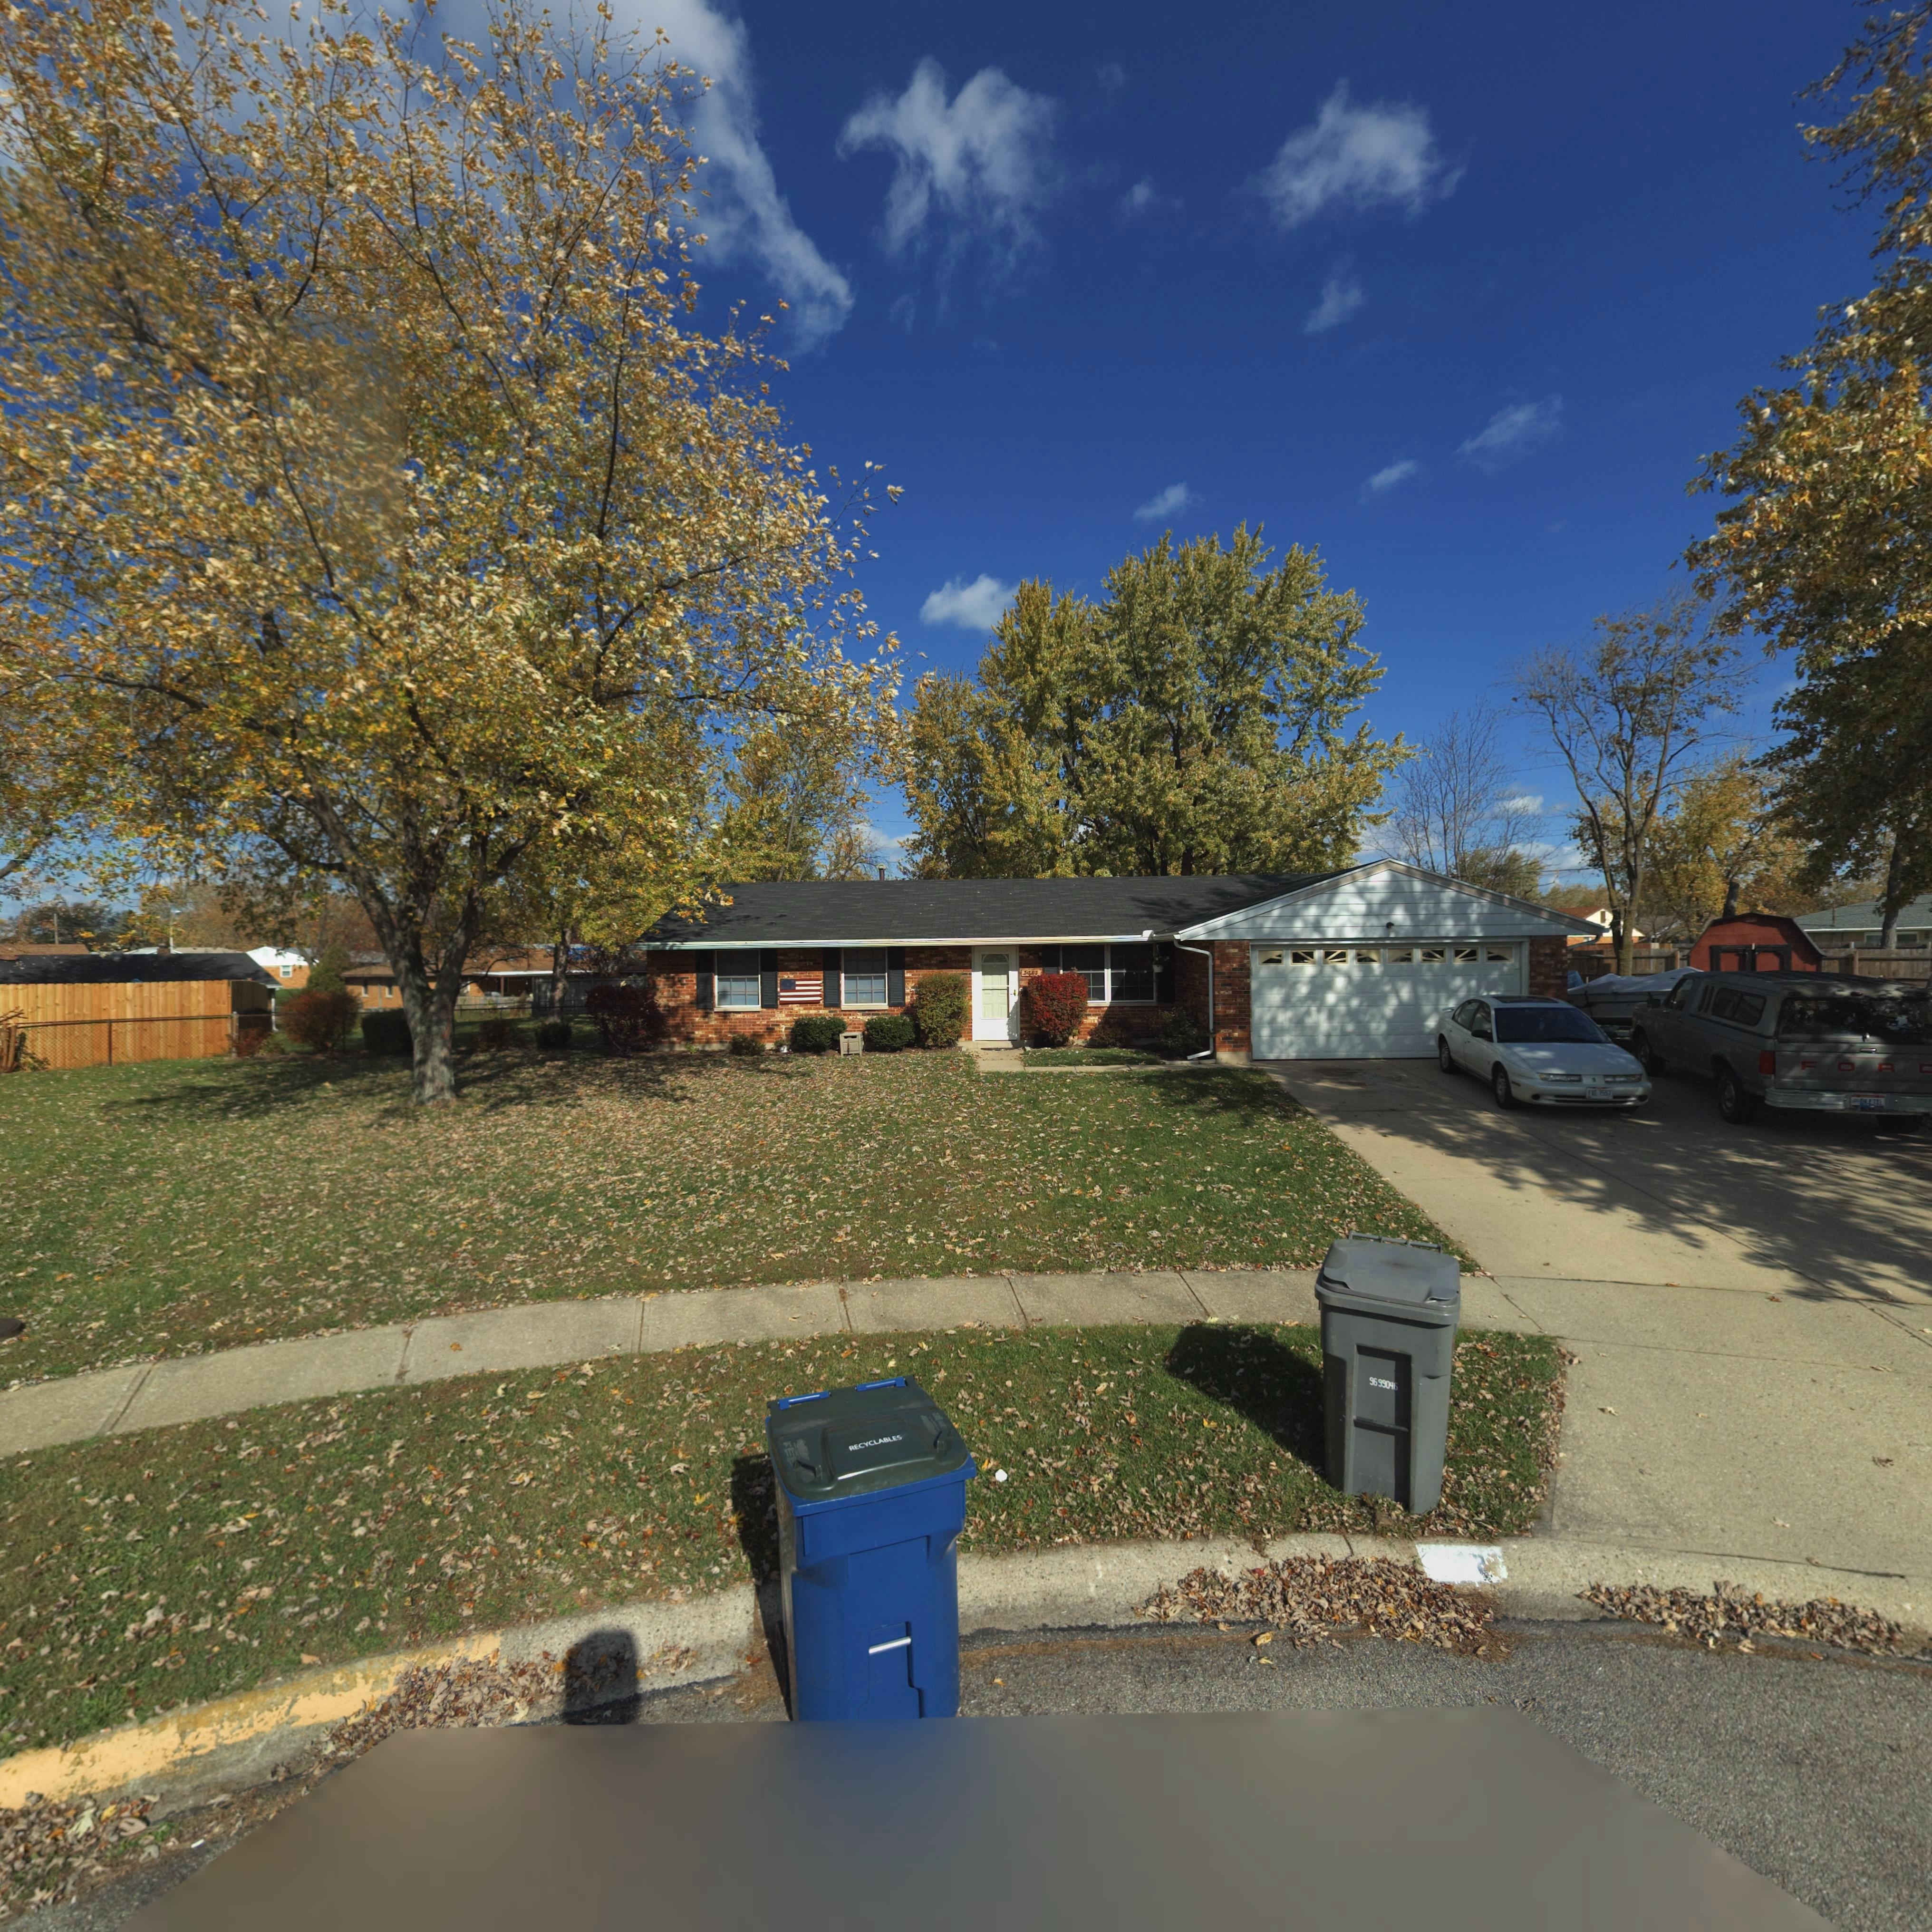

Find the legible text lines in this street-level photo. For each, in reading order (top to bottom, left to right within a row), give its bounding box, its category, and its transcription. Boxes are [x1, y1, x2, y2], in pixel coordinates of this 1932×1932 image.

[1023, 970, 1038, 975] StreetNumber: 7*67